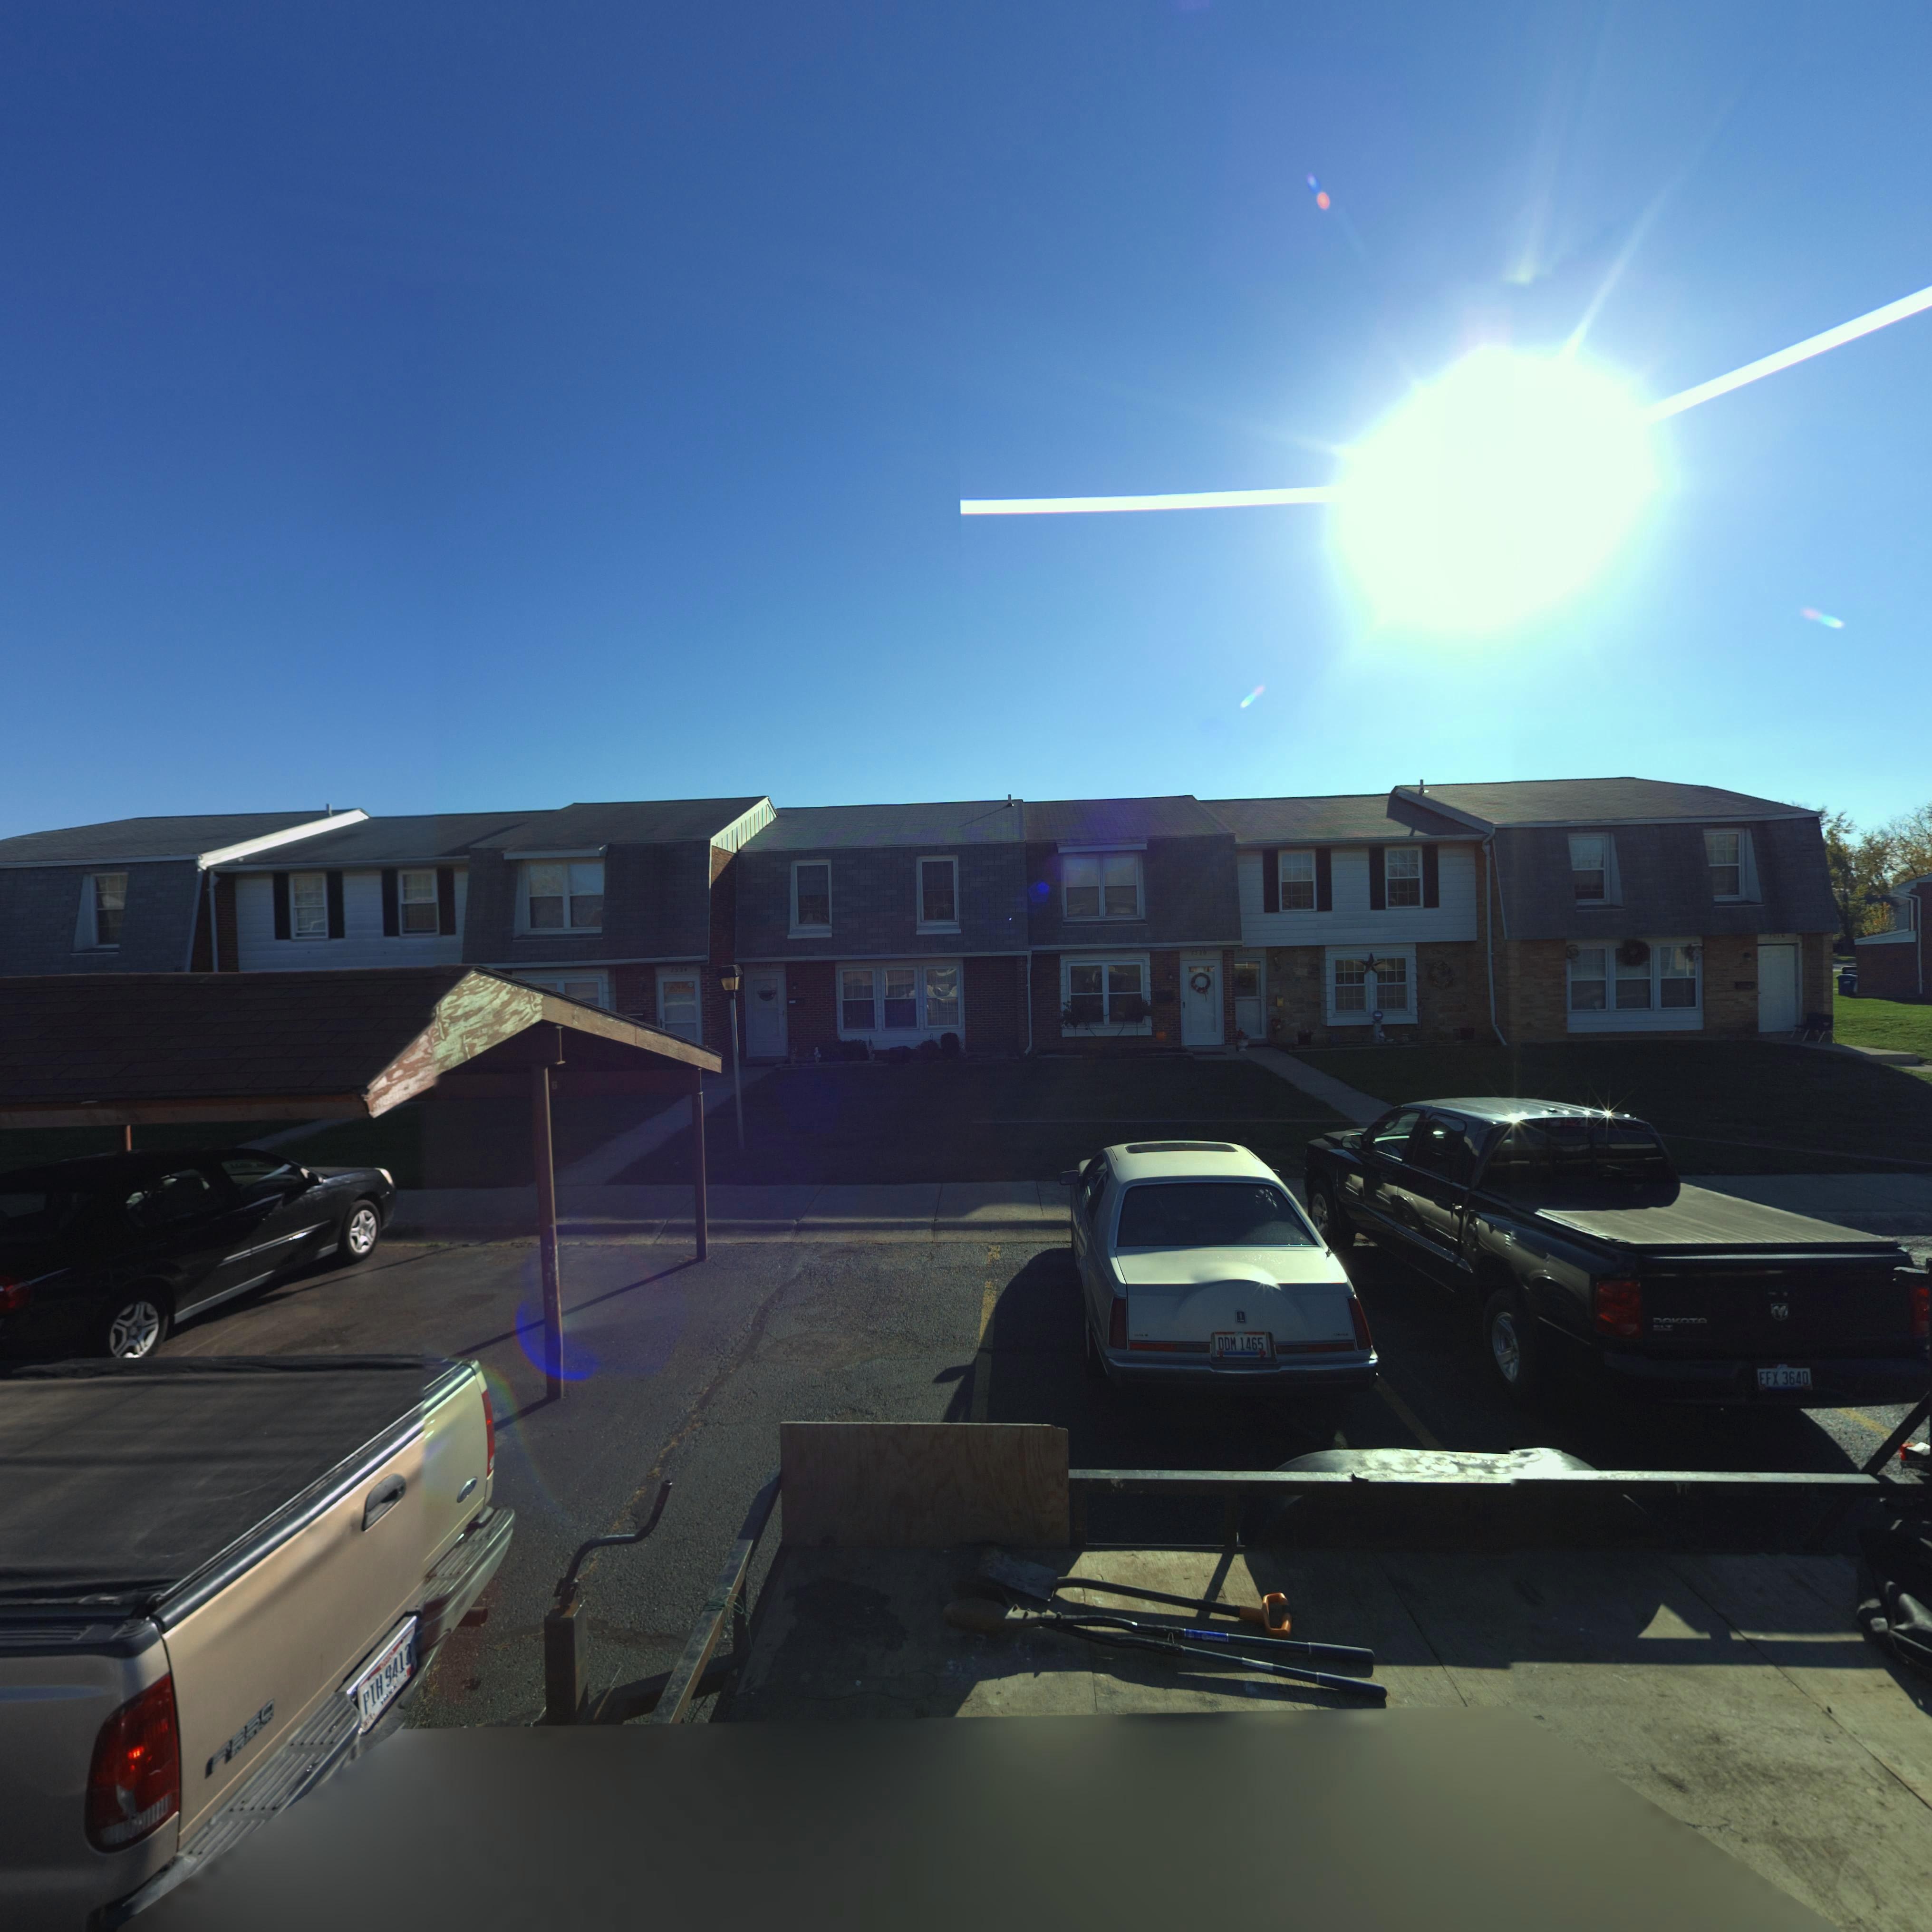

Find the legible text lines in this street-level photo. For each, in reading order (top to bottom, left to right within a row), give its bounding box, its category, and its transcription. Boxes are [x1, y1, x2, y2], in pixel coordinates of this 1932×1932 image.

[1768, 933, 1786, 938] StreetNumber: 7516
[1190, 950, 1207, 955] StreetNumber: 7520
[1236, 948, 1250, 953] StreetNumber: 7518
[756, 963, 772, 969] StreetNumber: 7522
[670, 966, 688, 973] StreetNumber: 7524
[551, 1080, 558, 1090] StreetNumber: 6